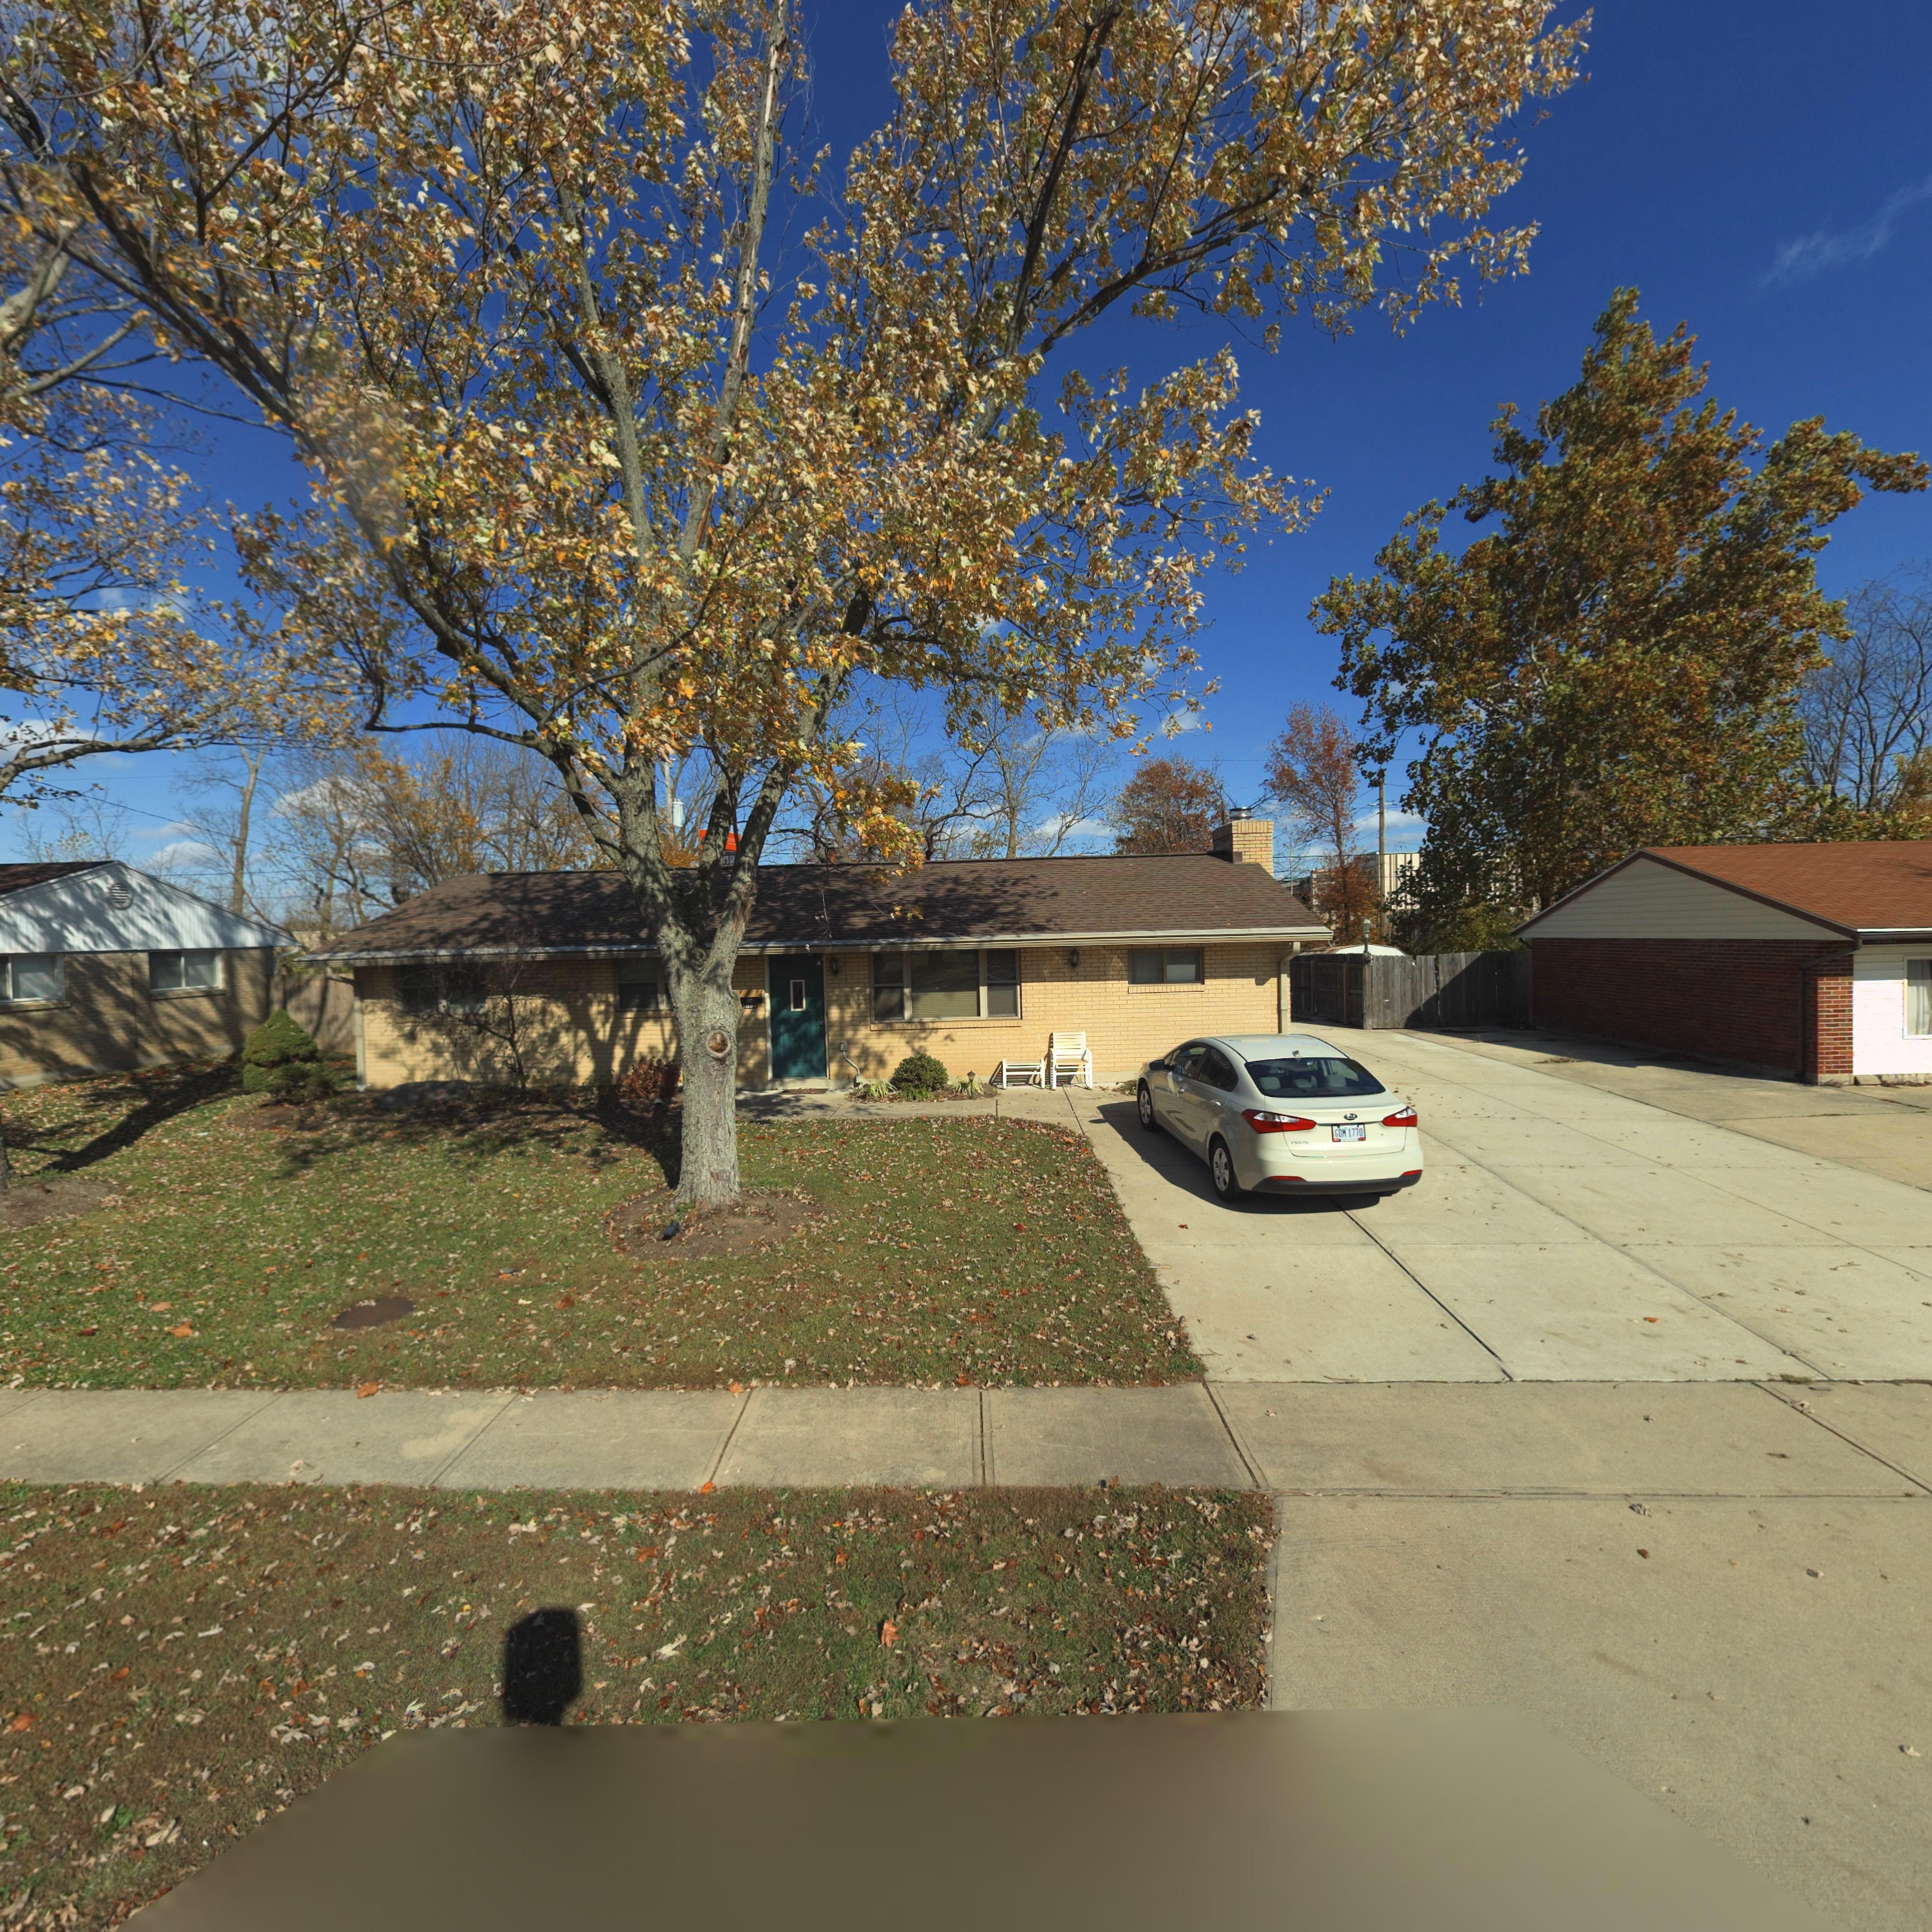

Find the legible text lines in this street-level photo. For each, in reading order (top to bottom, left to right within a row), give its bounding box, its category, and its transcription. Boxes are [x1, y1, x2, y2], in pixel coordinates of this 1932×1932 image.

[742, 1002, 757, 1010] StreetNumber: *891